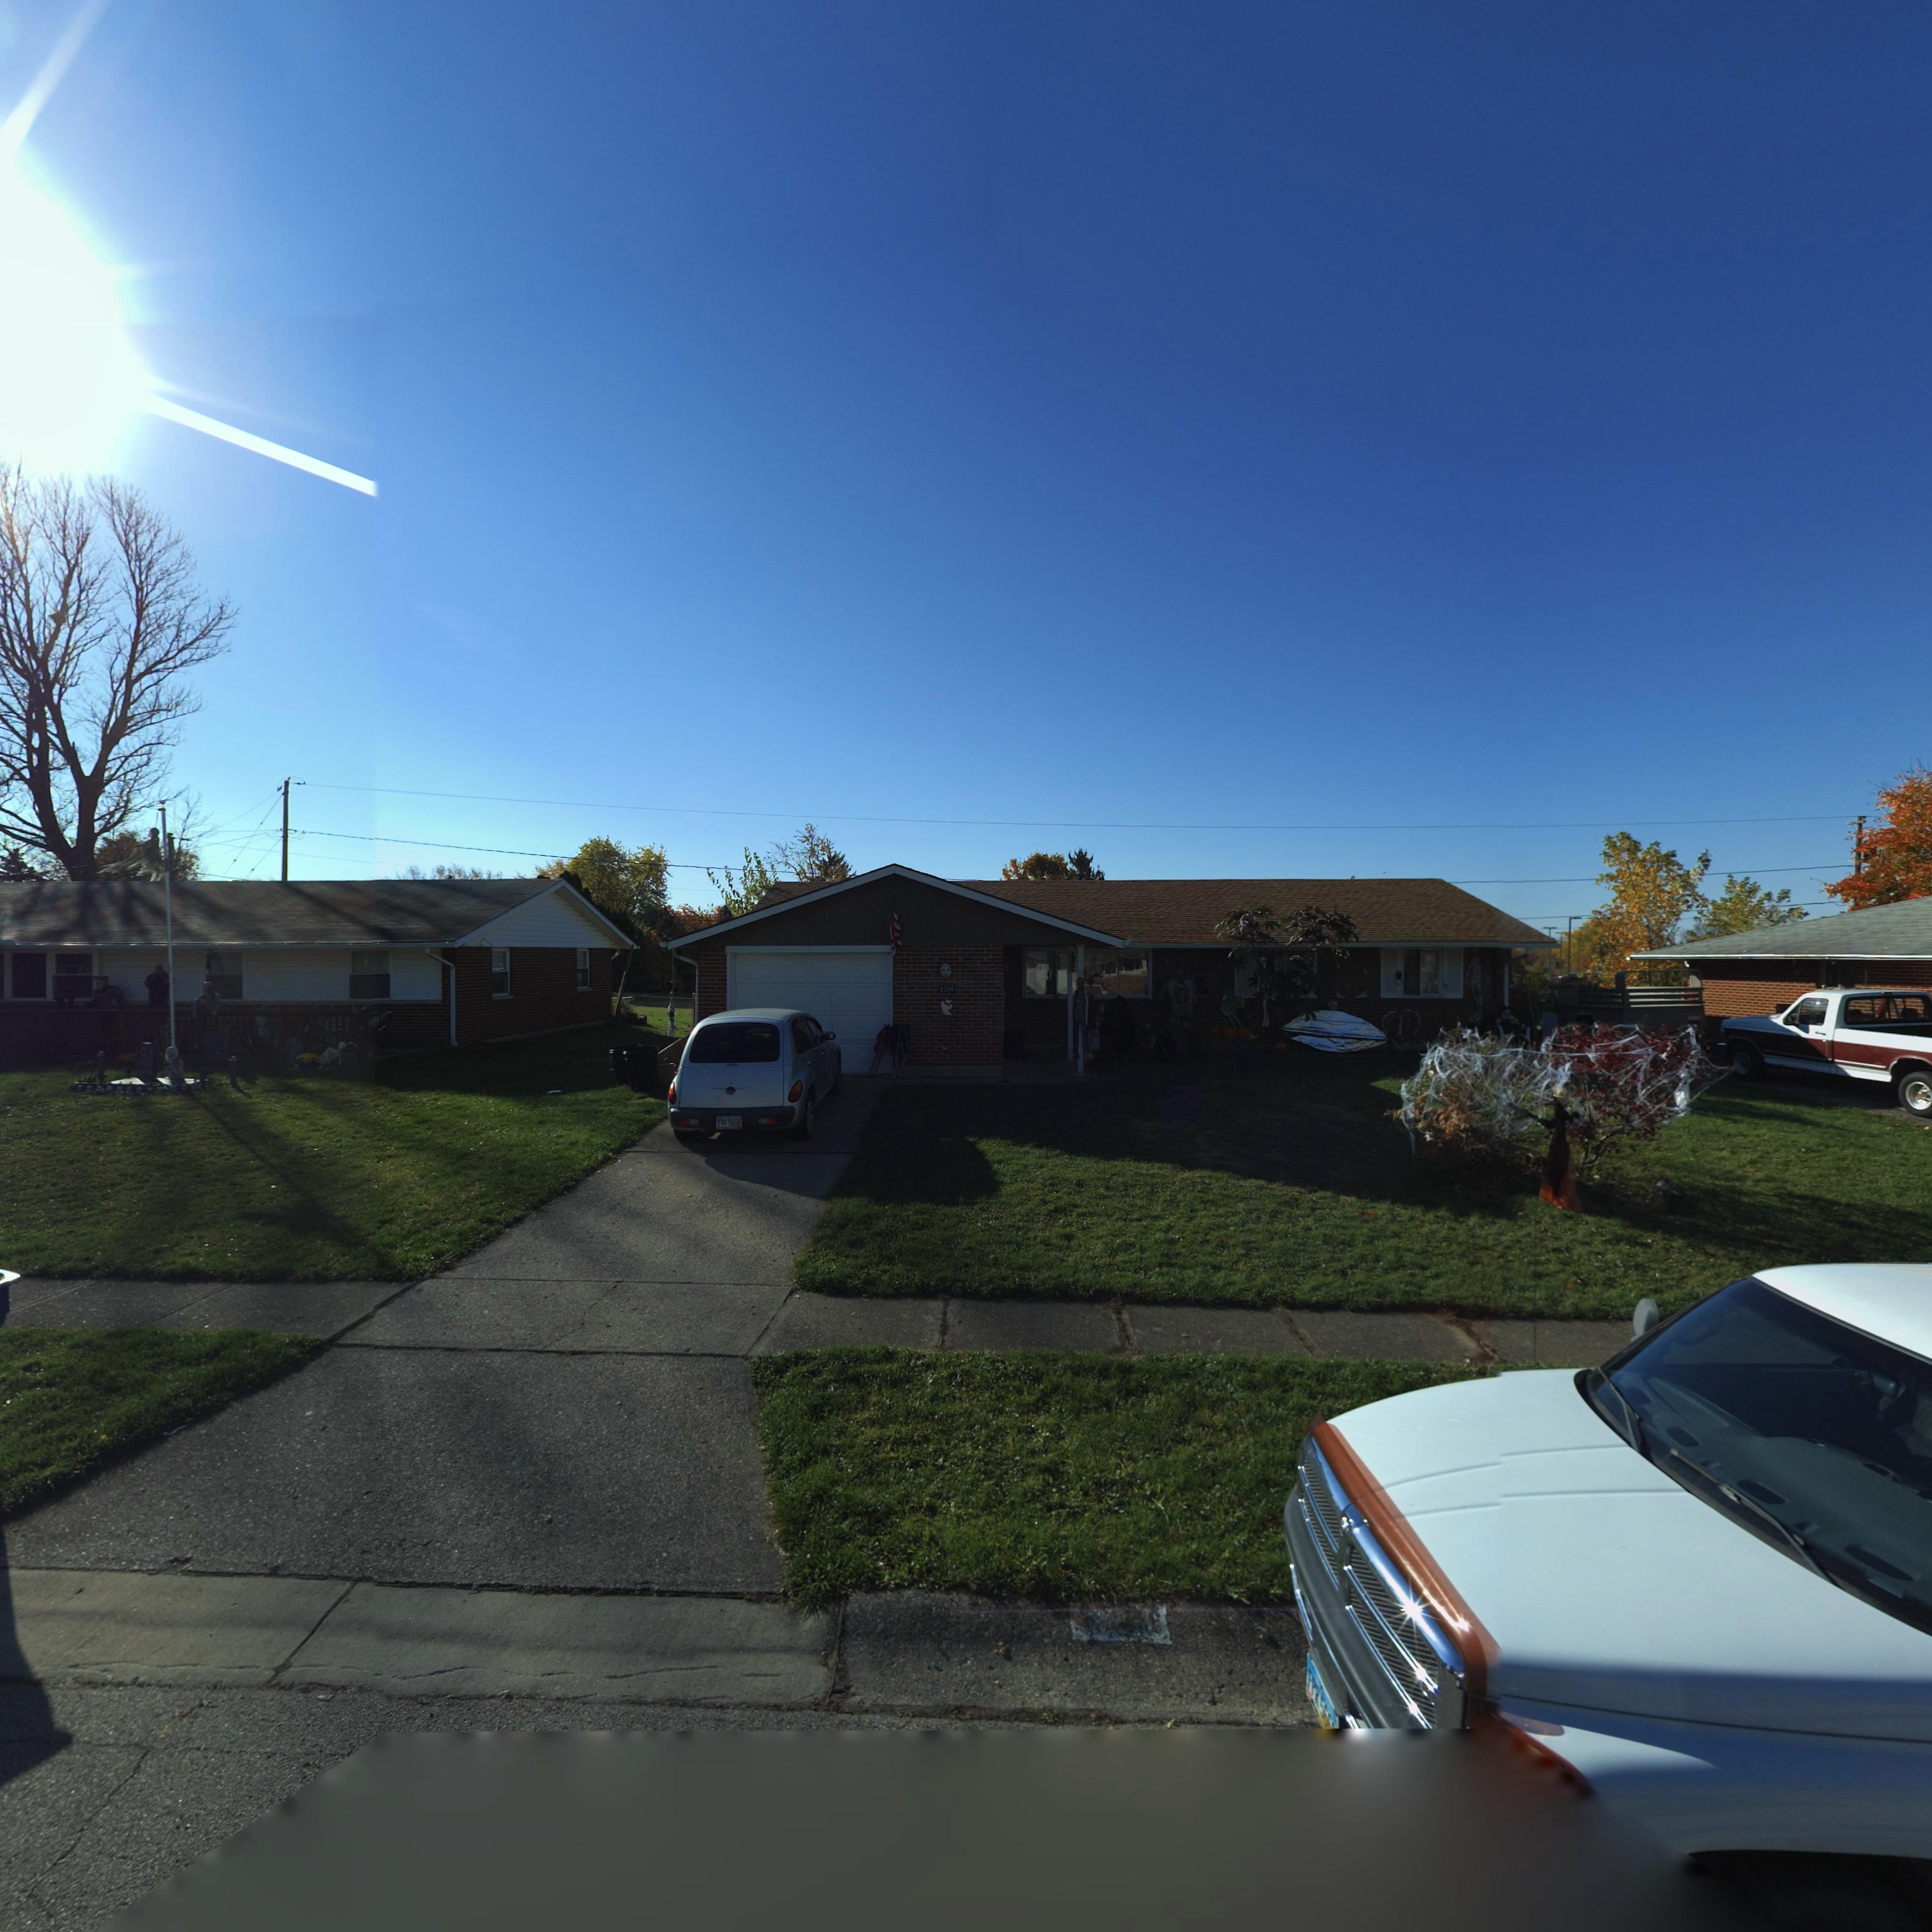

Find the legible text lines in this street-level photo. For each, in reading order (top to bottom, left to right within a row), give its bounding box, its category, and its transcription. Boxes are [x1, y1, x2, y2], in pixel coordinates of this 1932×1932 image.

[940, 986, 954, 992] StreetNumber: 6224